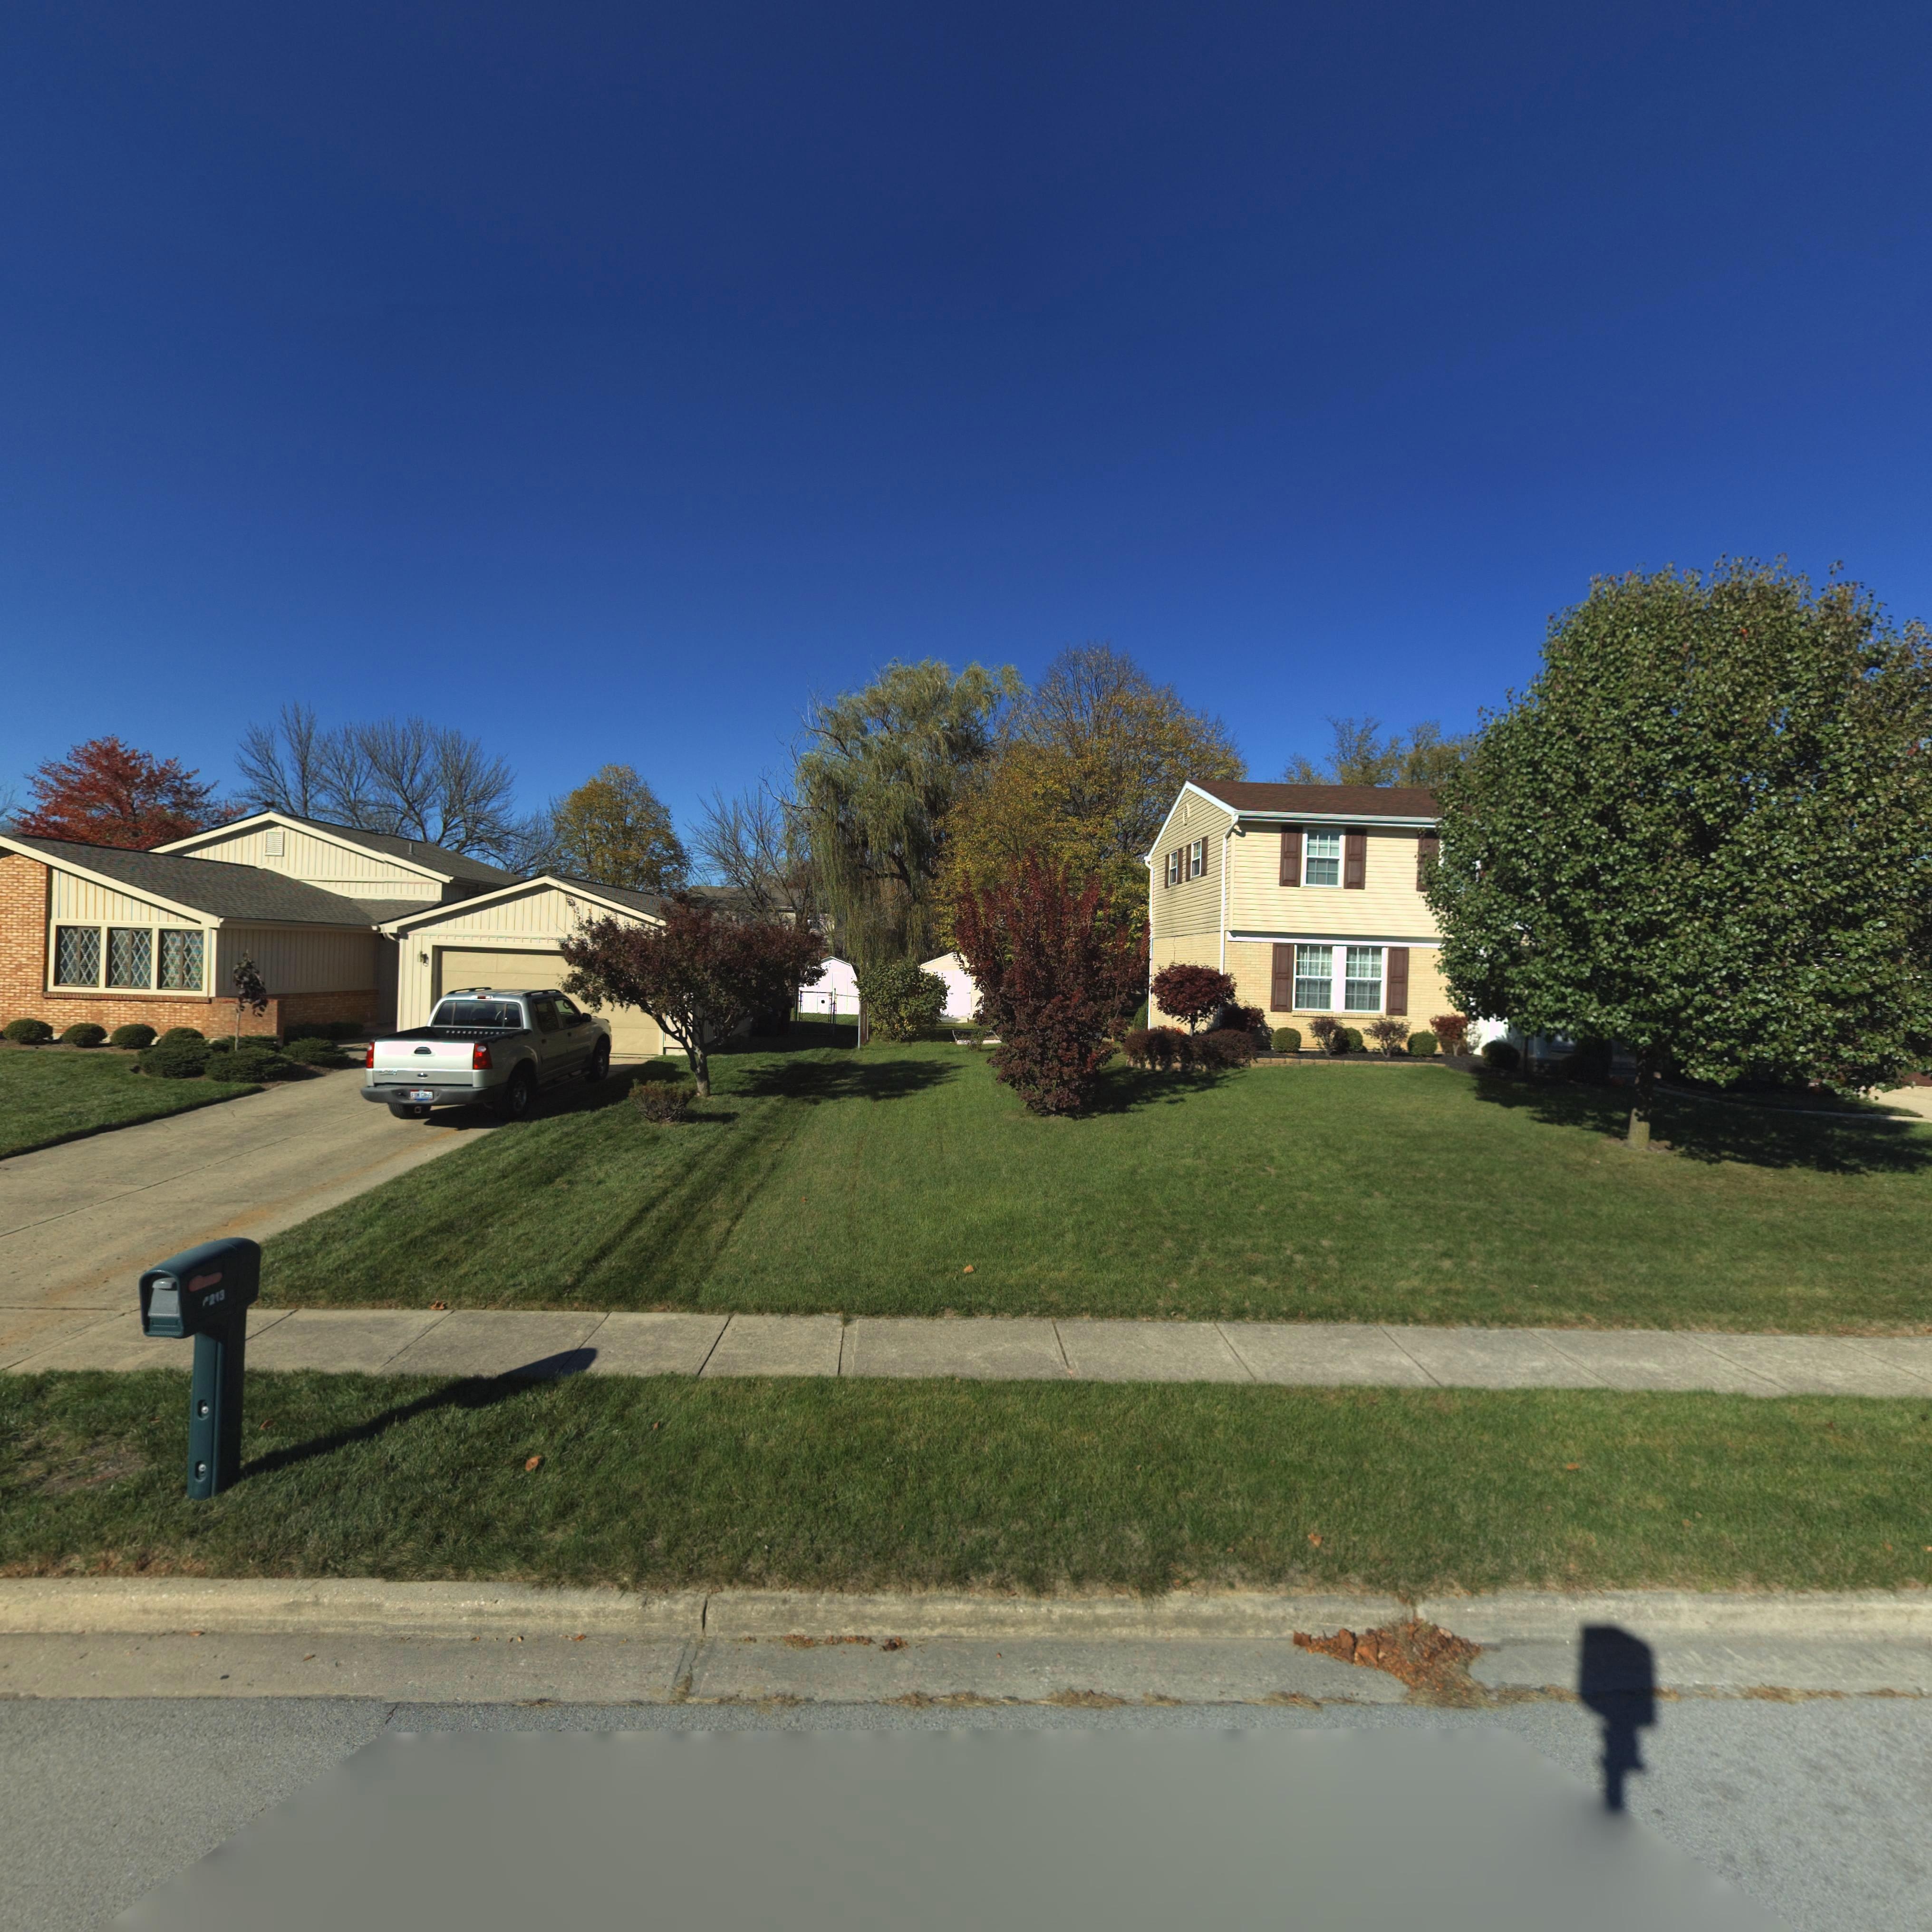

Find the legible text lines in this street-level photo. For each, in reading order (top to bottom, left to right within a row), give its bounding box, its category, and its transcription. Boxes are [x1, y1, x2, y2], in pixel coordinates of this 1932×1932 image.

[207, 1286, 227, 1307] StreetNumber: 213